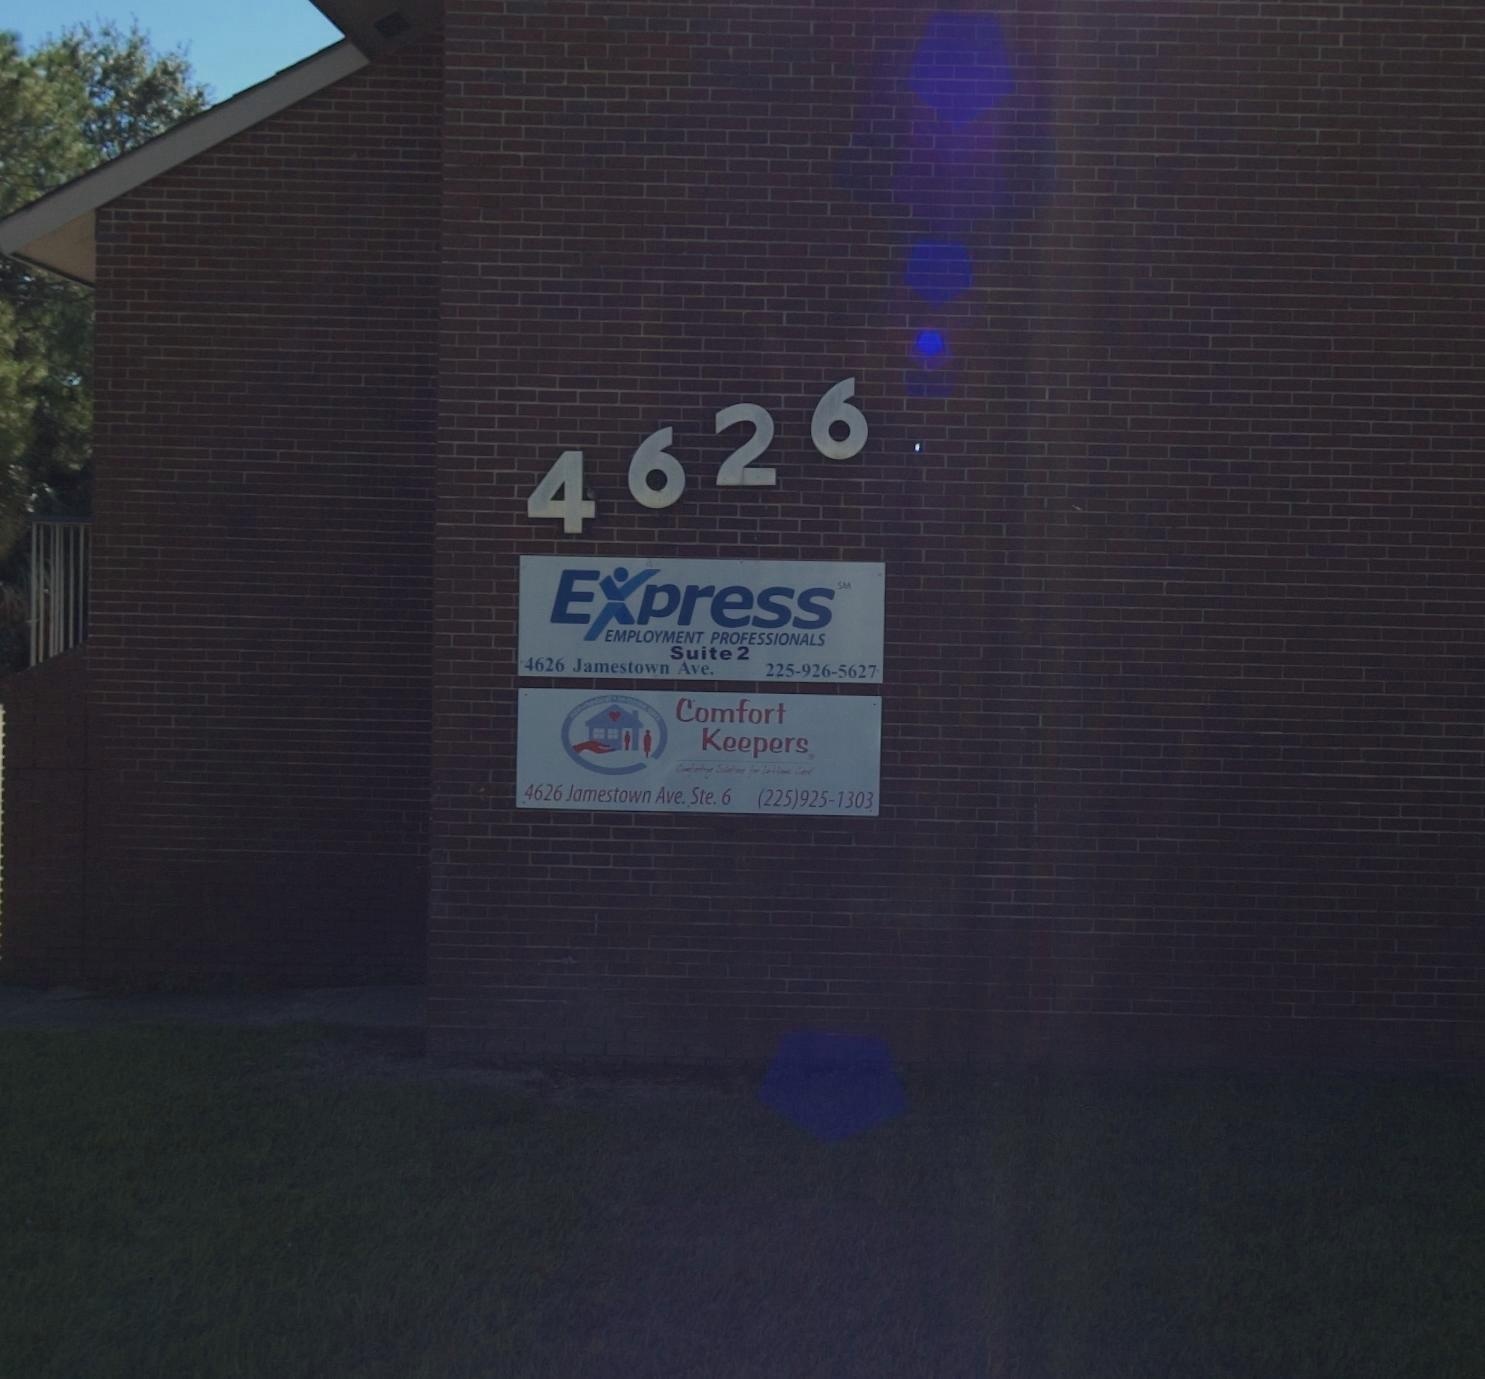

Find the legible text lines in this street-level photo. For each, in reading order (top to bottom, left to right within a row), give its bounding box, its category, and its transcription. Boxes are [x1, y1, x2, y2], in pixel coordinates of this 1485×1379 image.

[525, 375, 869, 536] StreetNumber: 4626
[836, 578, 854, 591] None: SM
[548, 567, 838, 643] BusinessName: Express Employment Professionals
[604, 629, 828, 648] None: EMPLOYMENT PROFESSIONALS
[523, 655, 566, 673] StreetNumber: 4226
[572, 657, 715, 676] StreetName: Jamestown Ave.
[670, 644, 751, 662] None: Suite 2
[763, 661, 878, 679] None: 225-926-5627
[675, 696, 787, 725] BusinessName: Comfort
[702, 727, 809, 759] BusinessName: Keepers
[523, 781, 564, 802] StreetNumber: 4626
[564, 782, 687, 806] StreetName: Jamestown Ave.
[688, 785, 733, 807] SecondaryUnitDesignator: Ste. 6
[757, 786, 875, 810] None: (225)925-1303